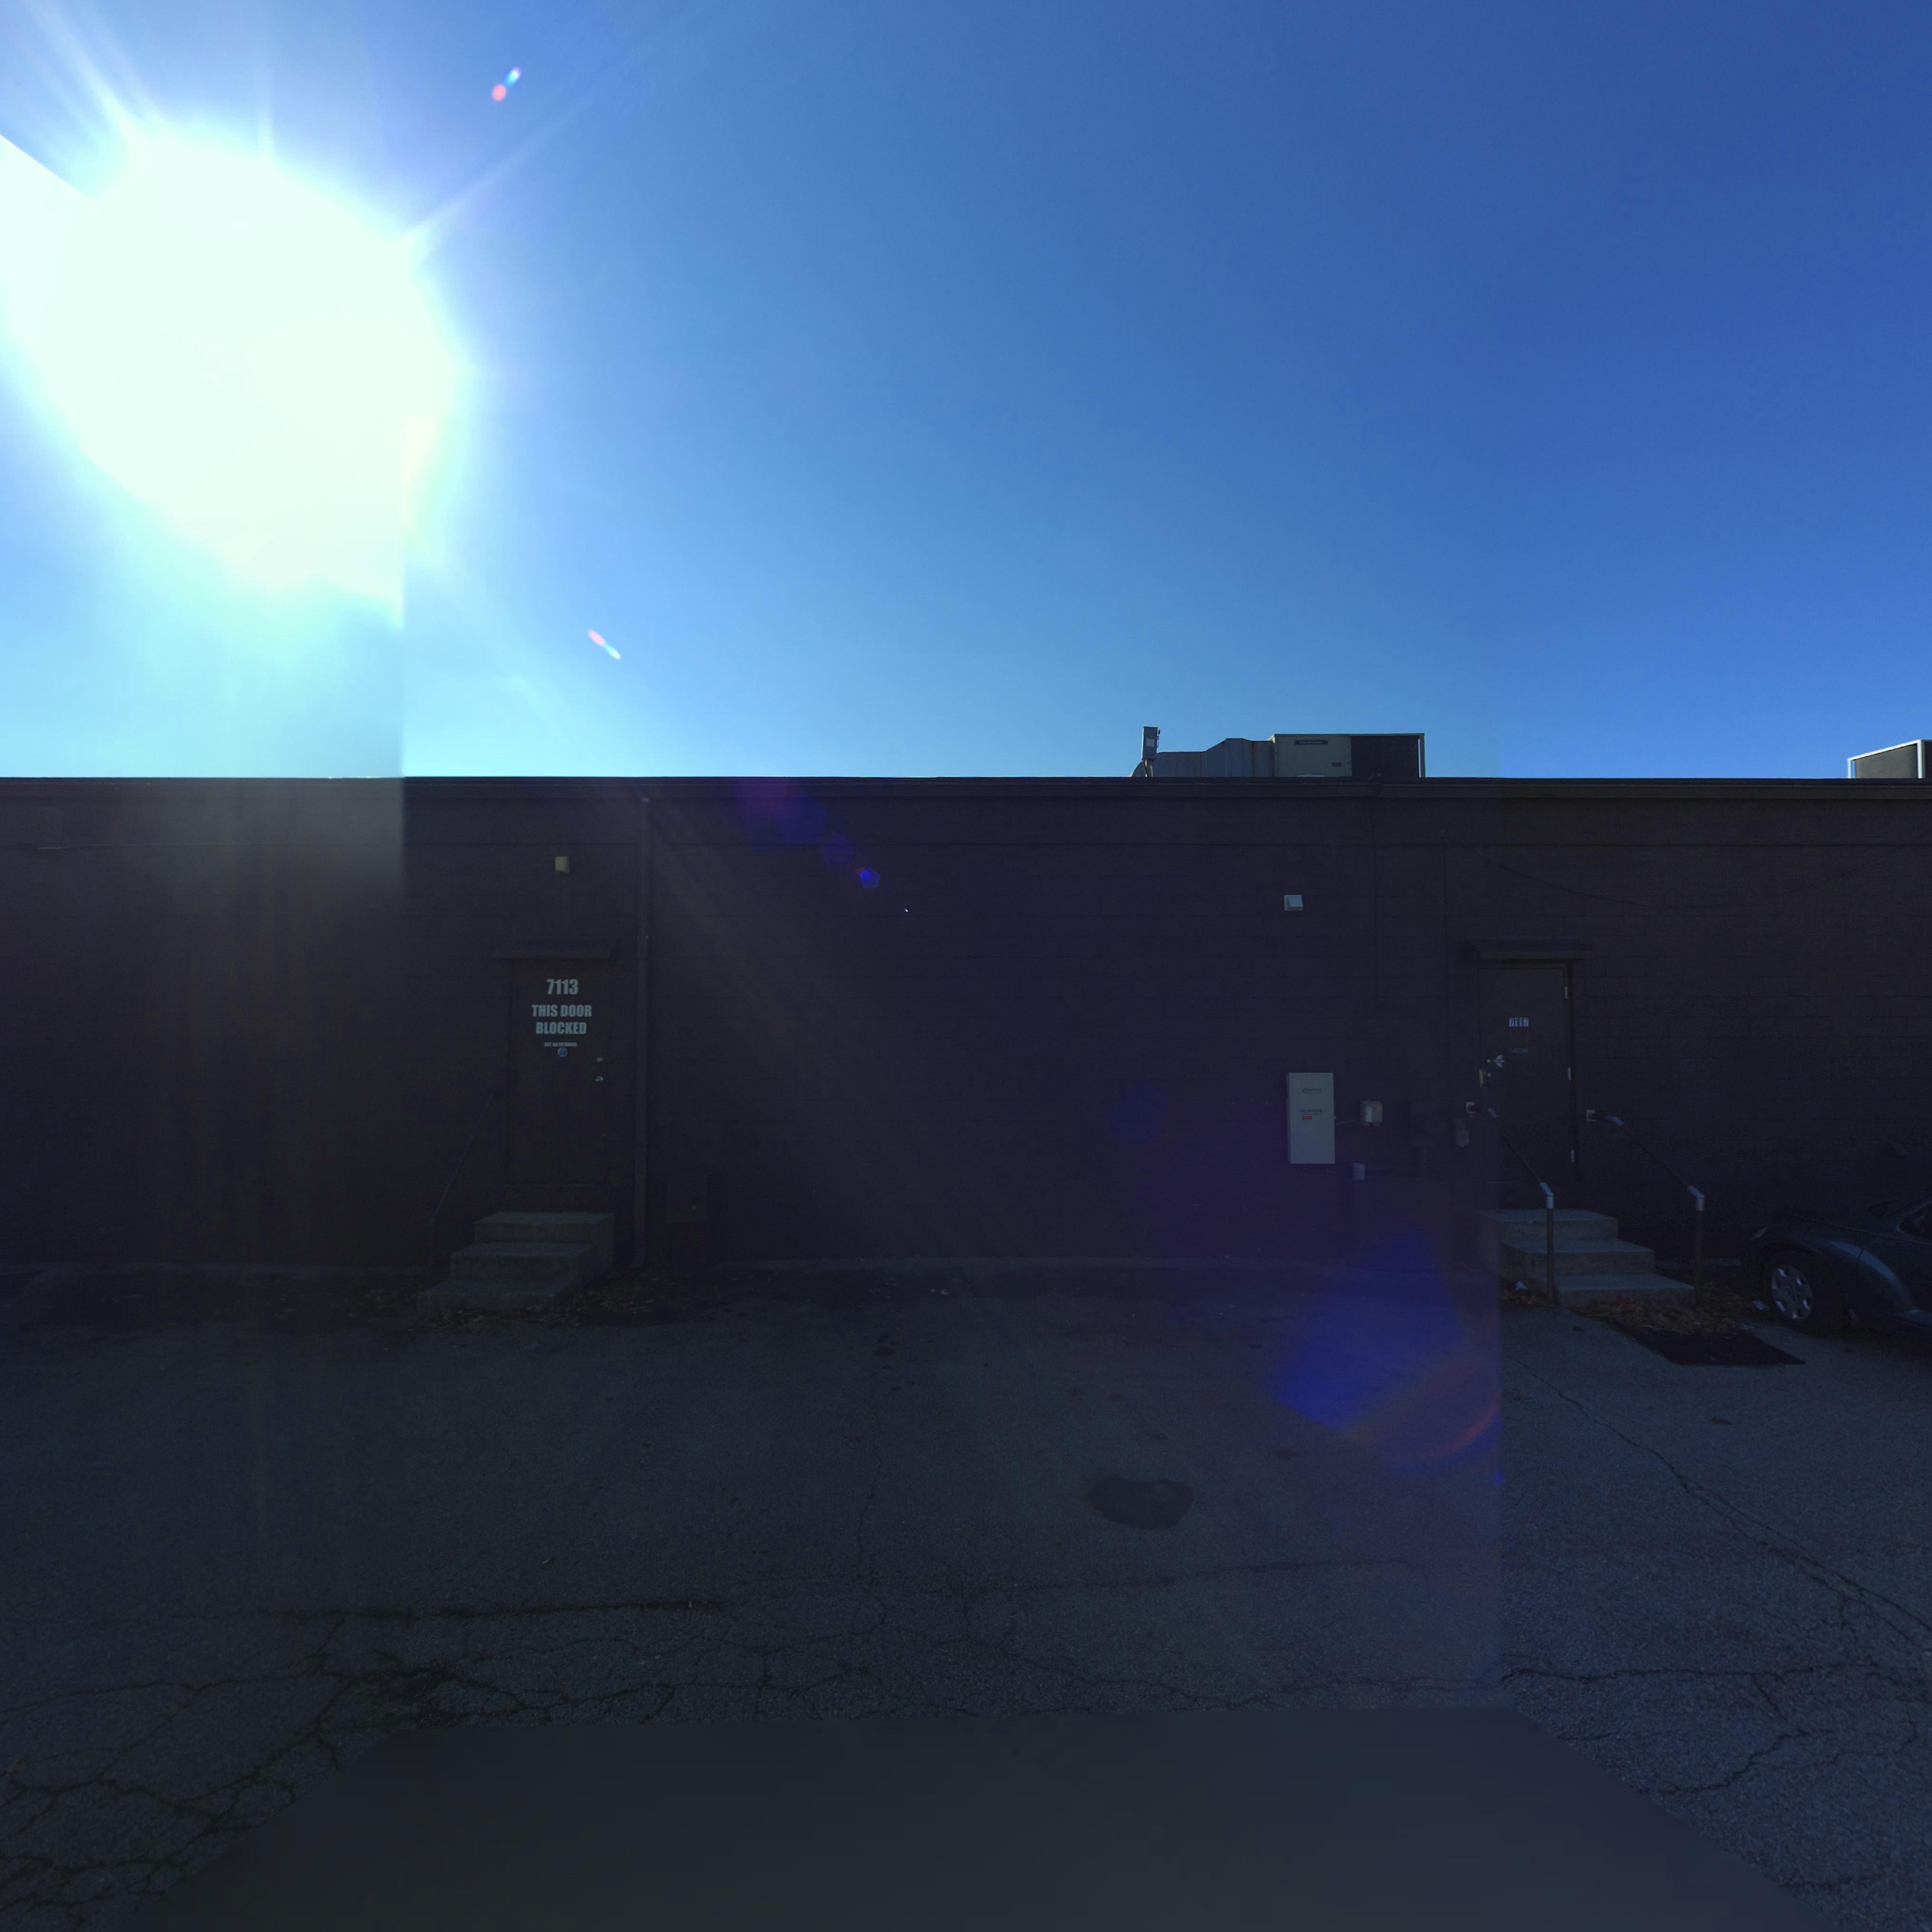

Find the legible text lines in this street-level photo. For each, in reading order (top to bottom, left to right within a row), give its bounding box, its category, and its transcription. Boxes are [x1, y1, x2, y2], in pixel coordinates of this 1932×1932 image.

[546, 978, 579, 995] StreetNumber: 7113
[1509, 1017, 1528, 1027] StreetNumber: 7117